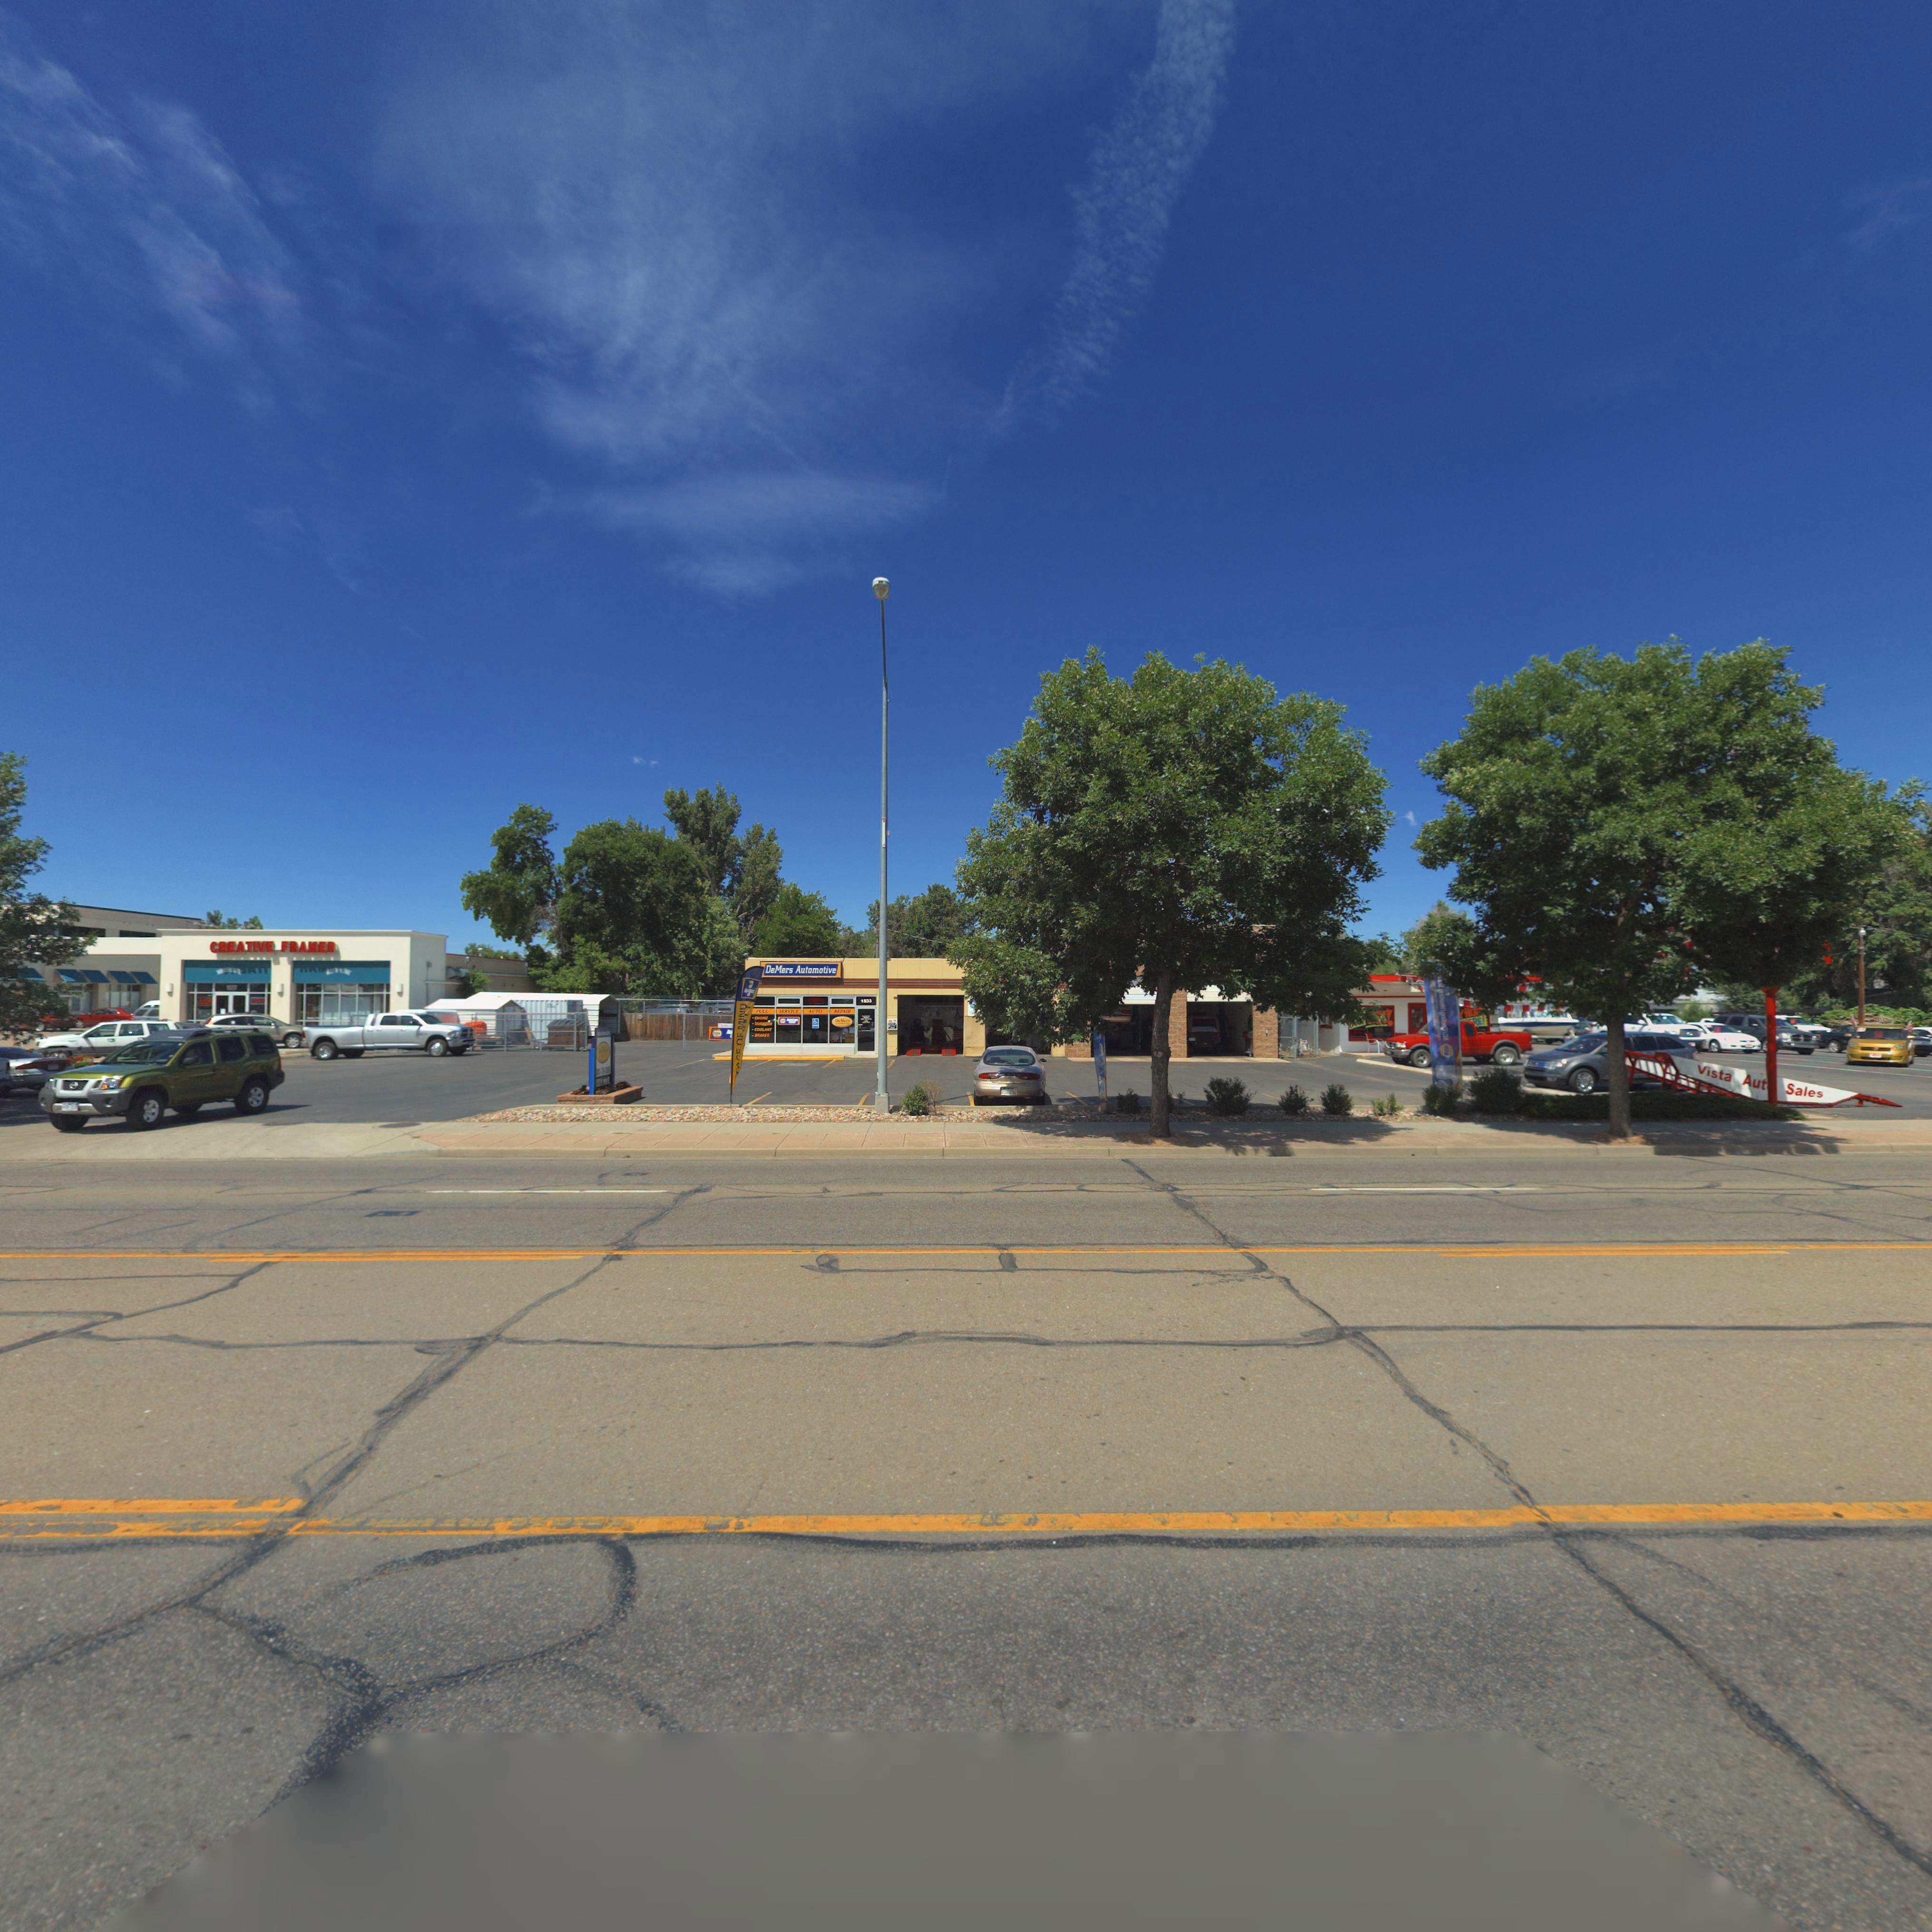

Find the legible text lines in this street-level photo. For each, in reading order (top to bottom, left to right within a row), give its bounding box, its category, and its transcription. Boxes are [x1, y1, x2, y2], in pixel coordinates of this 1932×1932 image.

[209, 940, 336, 954] BusinessName: CREATIVE FRAMER
[764, 964, 837, 974] BusinessName: DeMers Automotive
[225, 985, 237, 990] StreetNumber: 15*0
[860, 999, 872, 1003] StreetNumber: 1533
[725, 1029, 730, 1034] BusinessName: A
[1697, 1063, 1823, 1098] BusinessName: Vista Aut* Sales